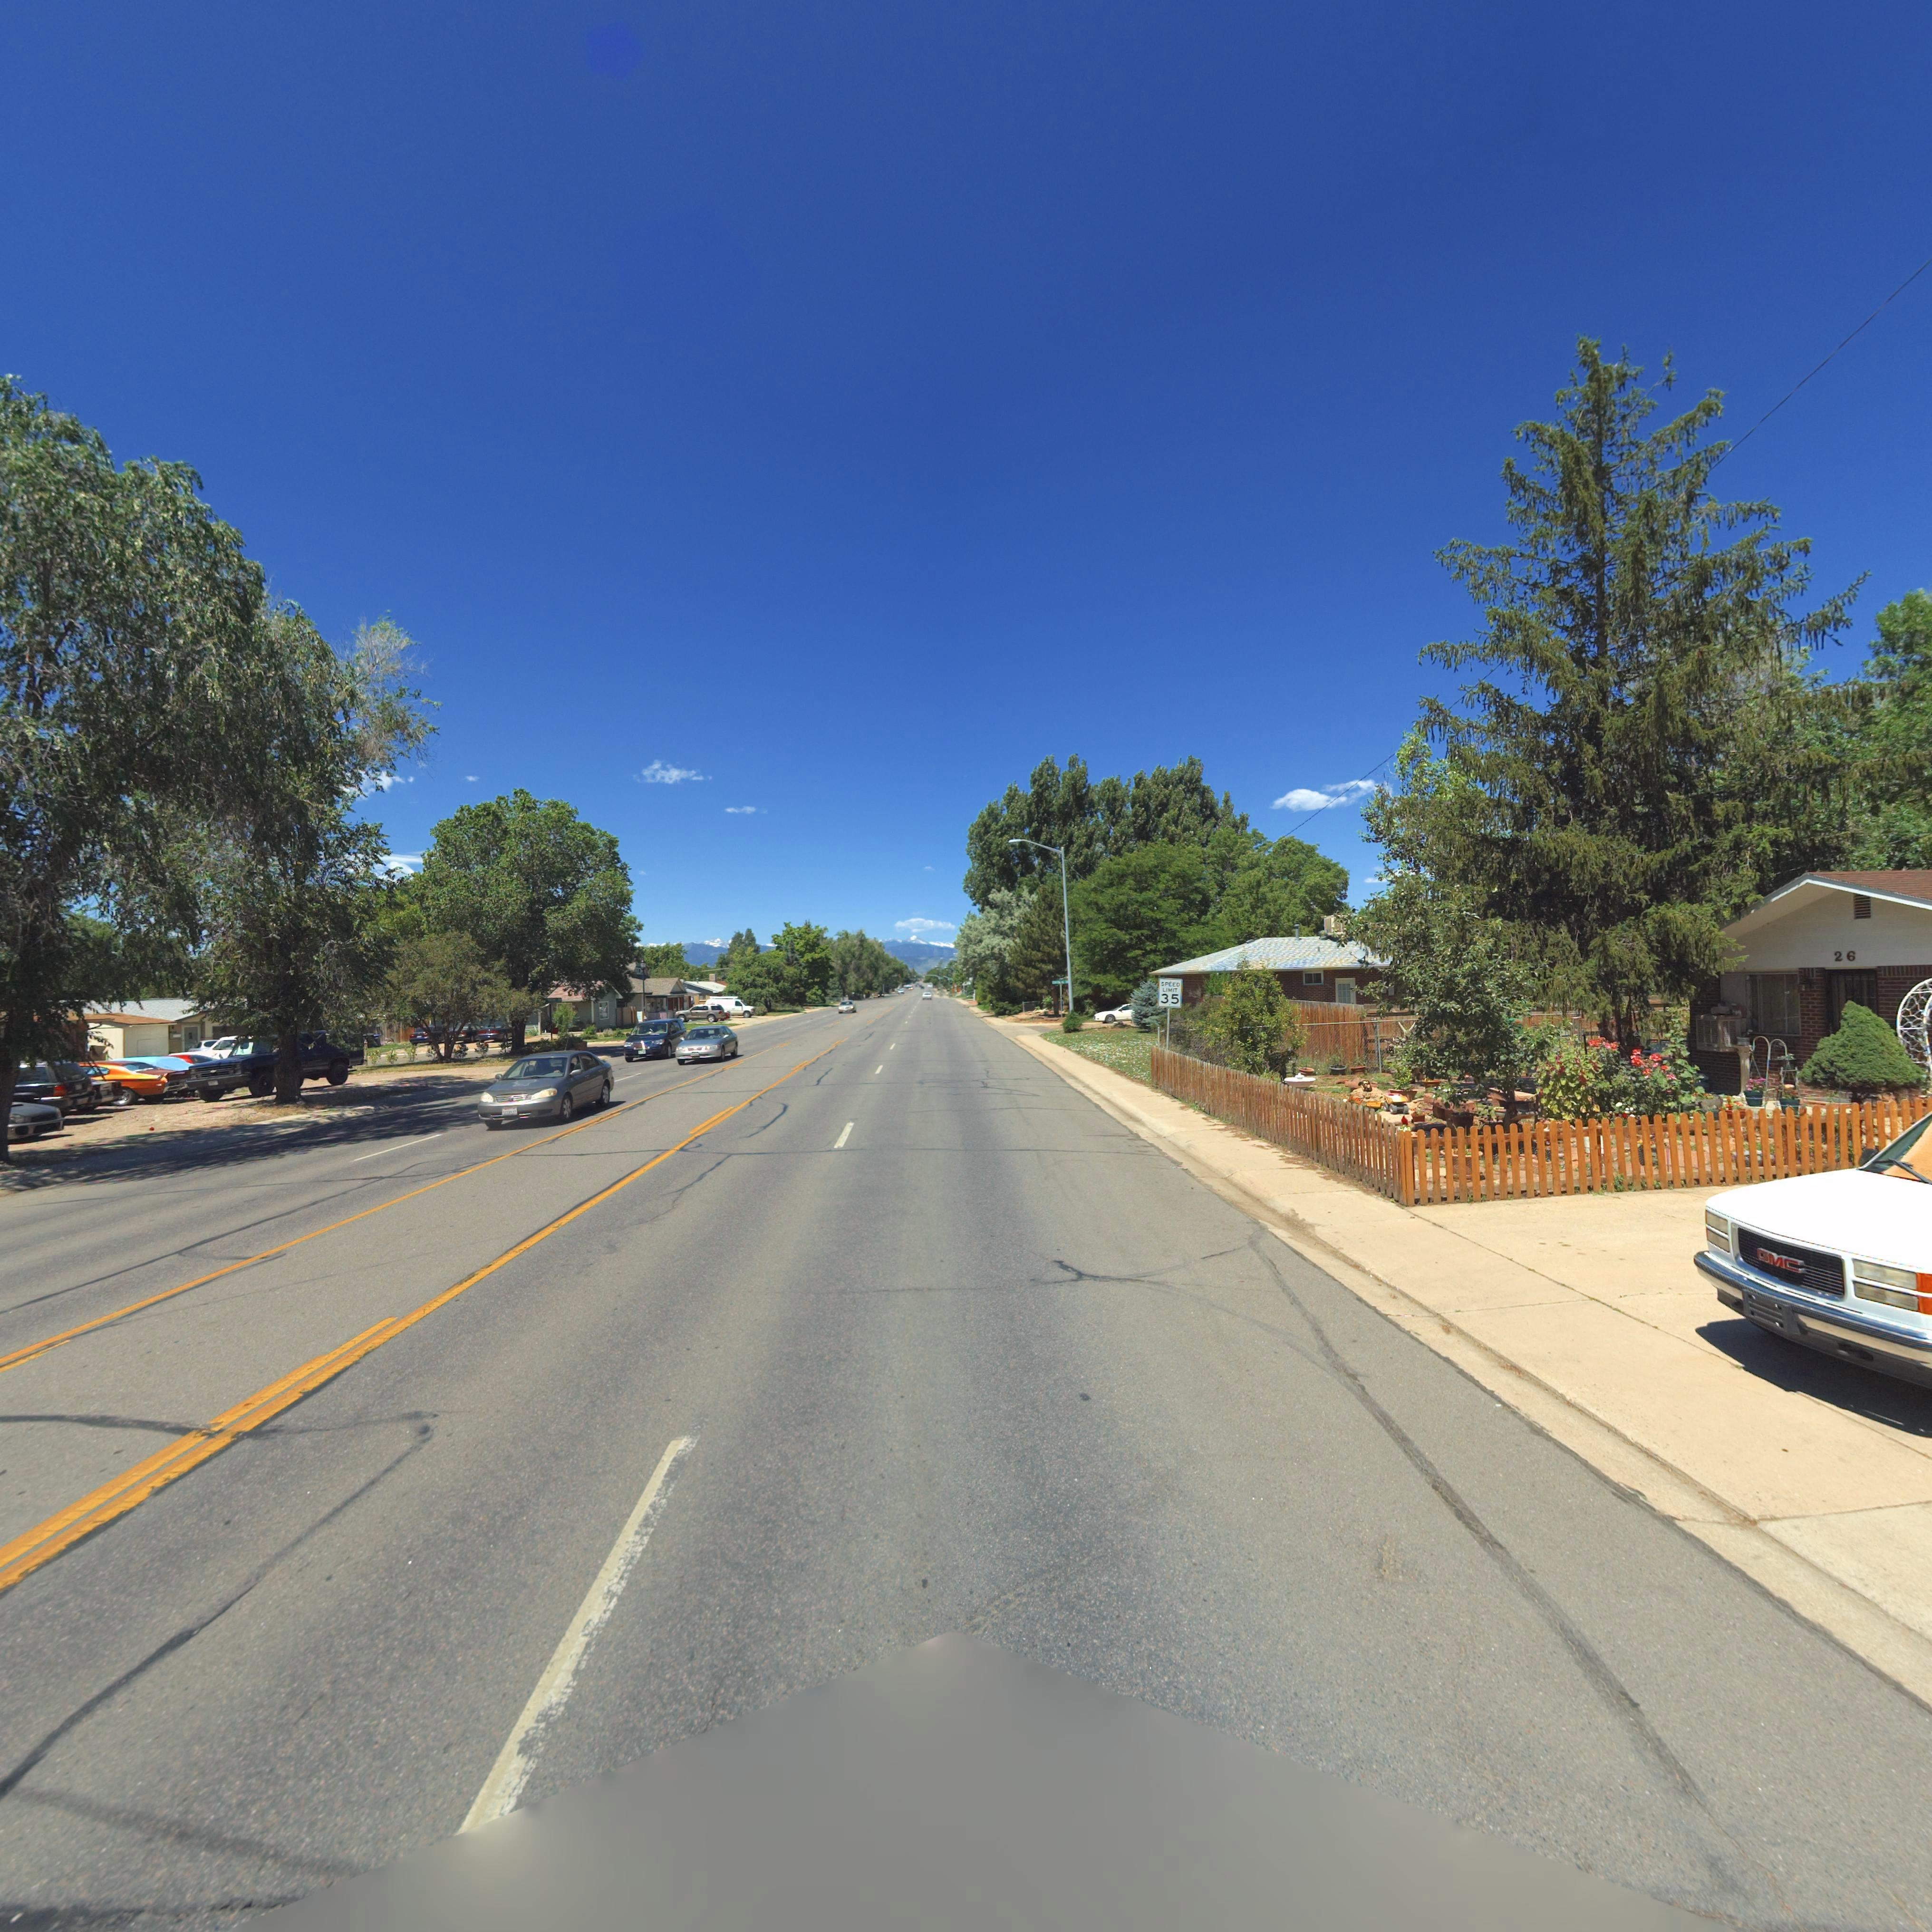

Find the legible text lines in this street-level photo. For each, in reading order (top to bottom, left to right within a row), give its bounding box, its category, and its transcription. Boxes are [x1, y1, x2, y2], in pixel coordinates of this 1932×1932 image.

[1834, 950, 1855, 961] StreetNumber: 26